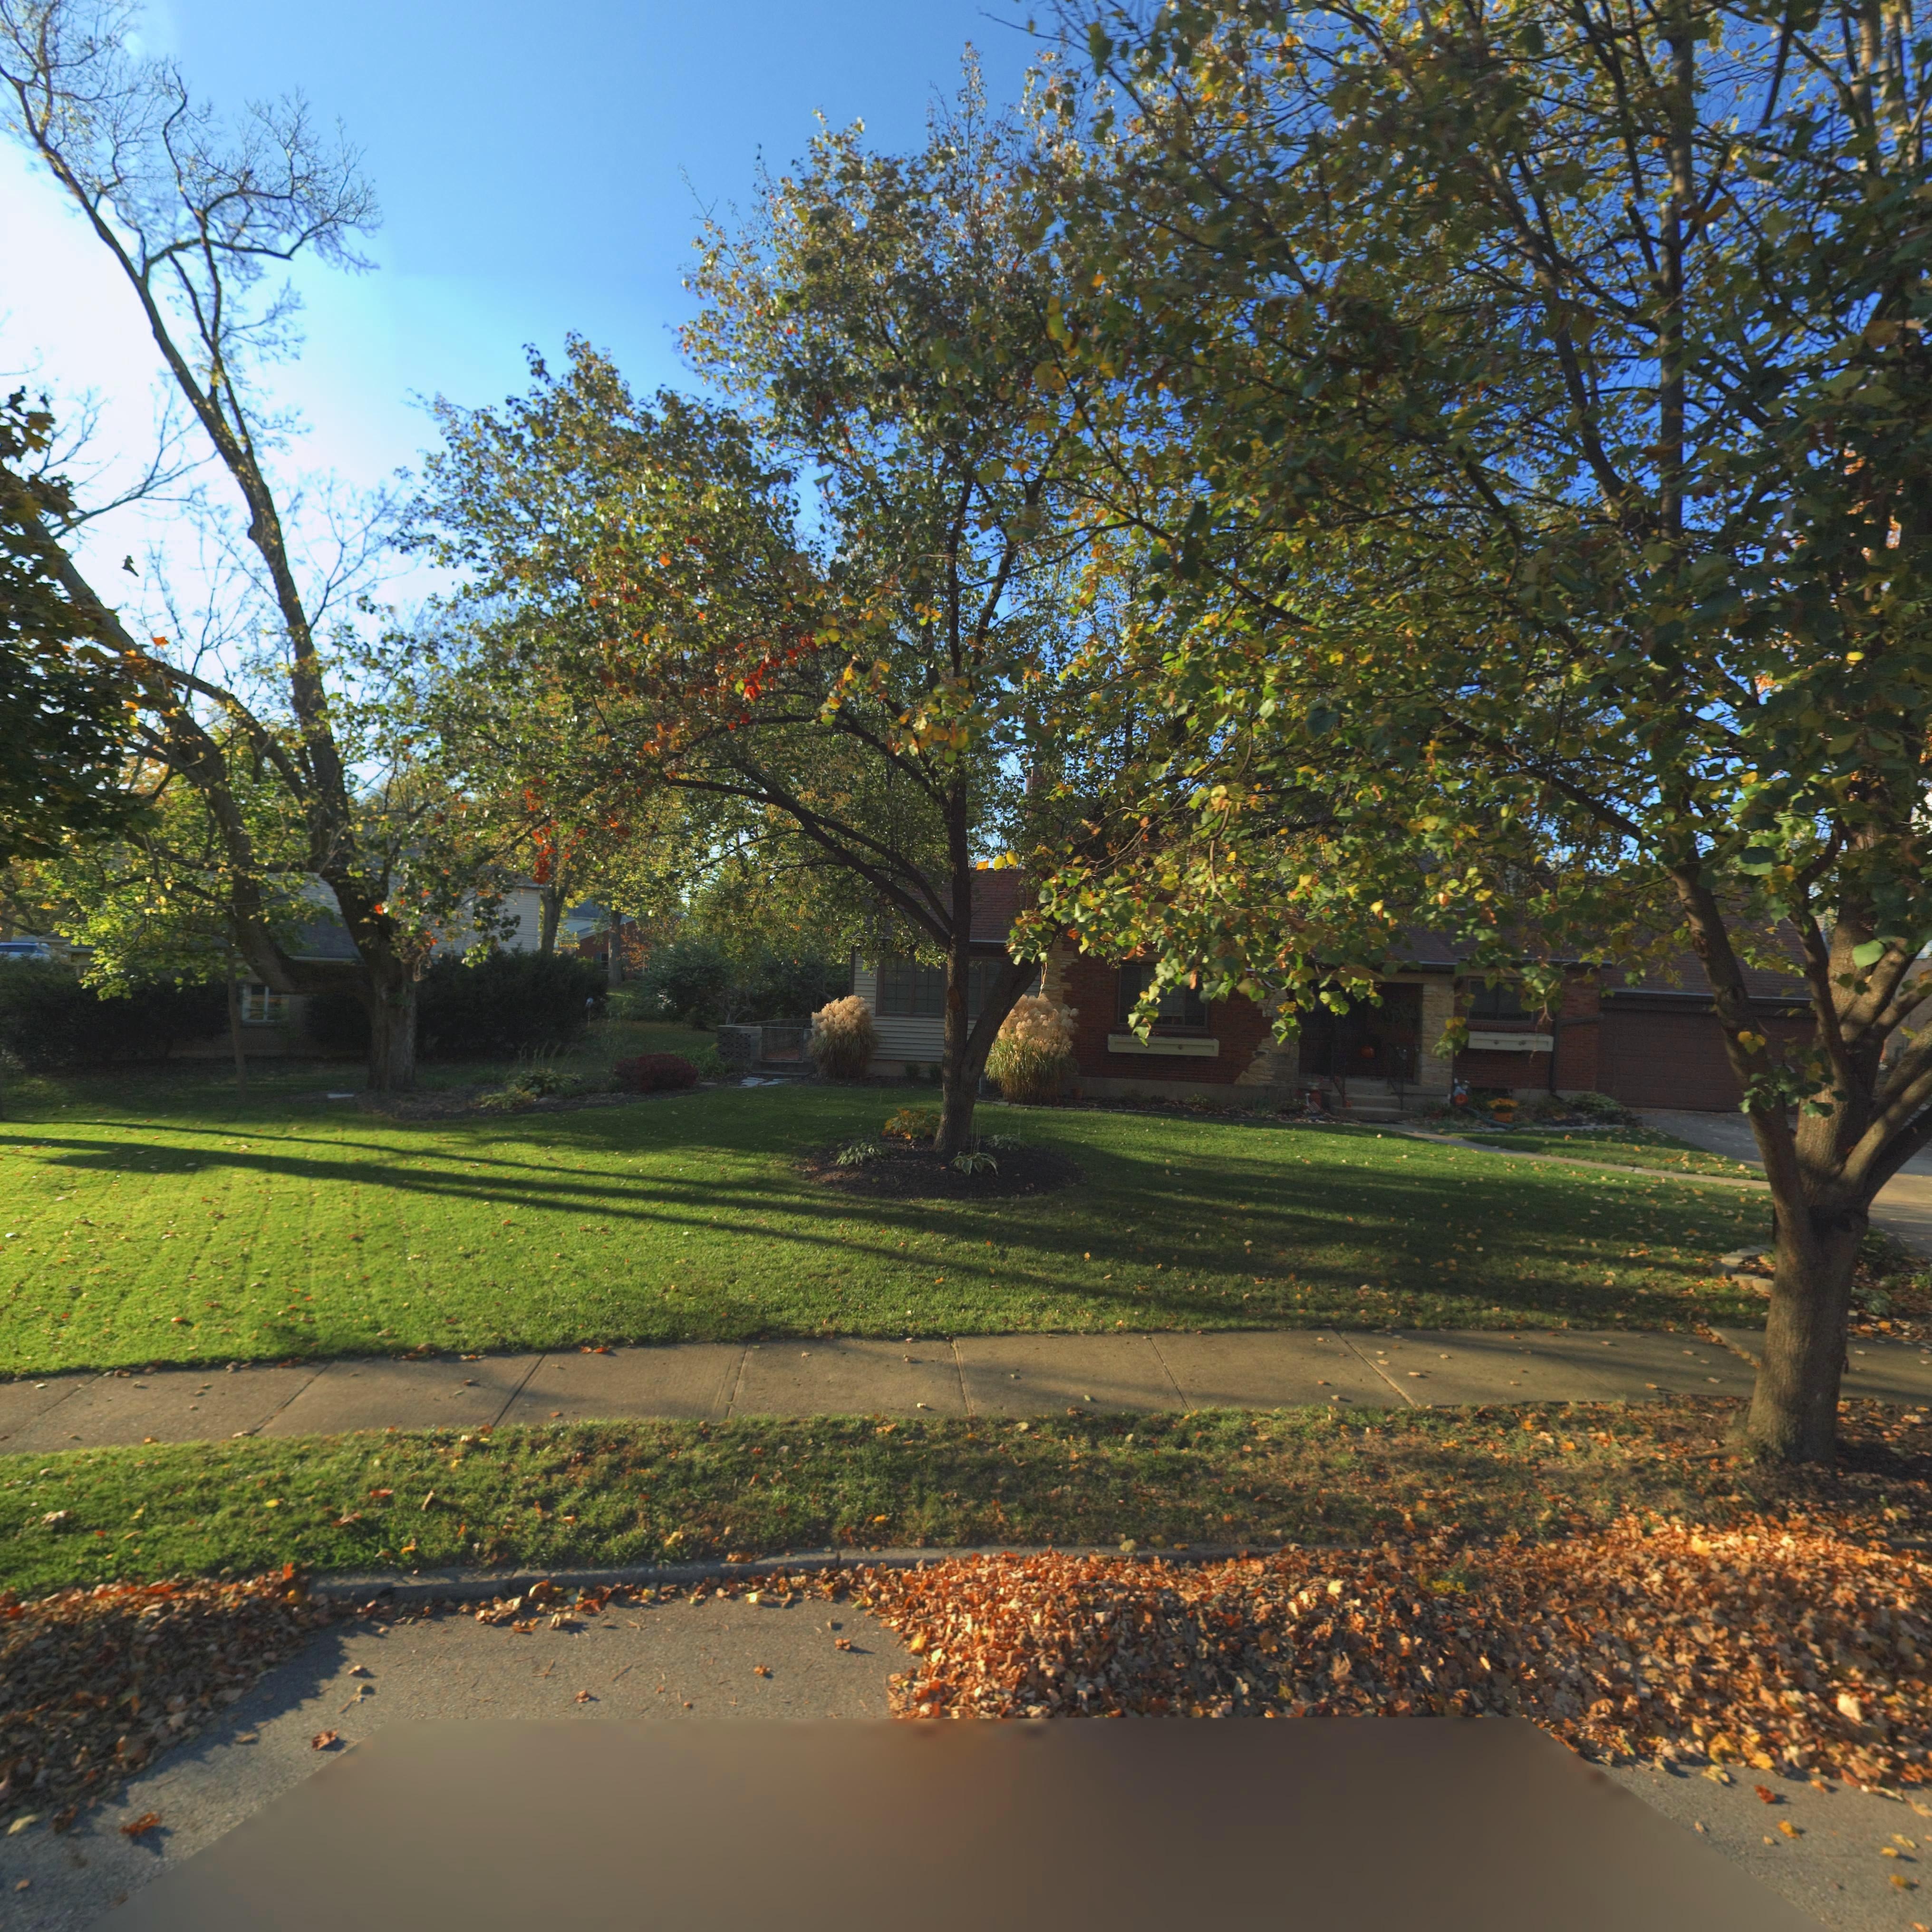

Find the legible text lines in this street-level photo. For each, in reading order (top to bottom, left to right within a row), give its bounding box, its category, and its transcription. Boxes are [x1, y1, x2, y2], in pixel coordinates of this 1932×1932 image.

[1701, 1004, 1708, 1011] StreetNumber: 2